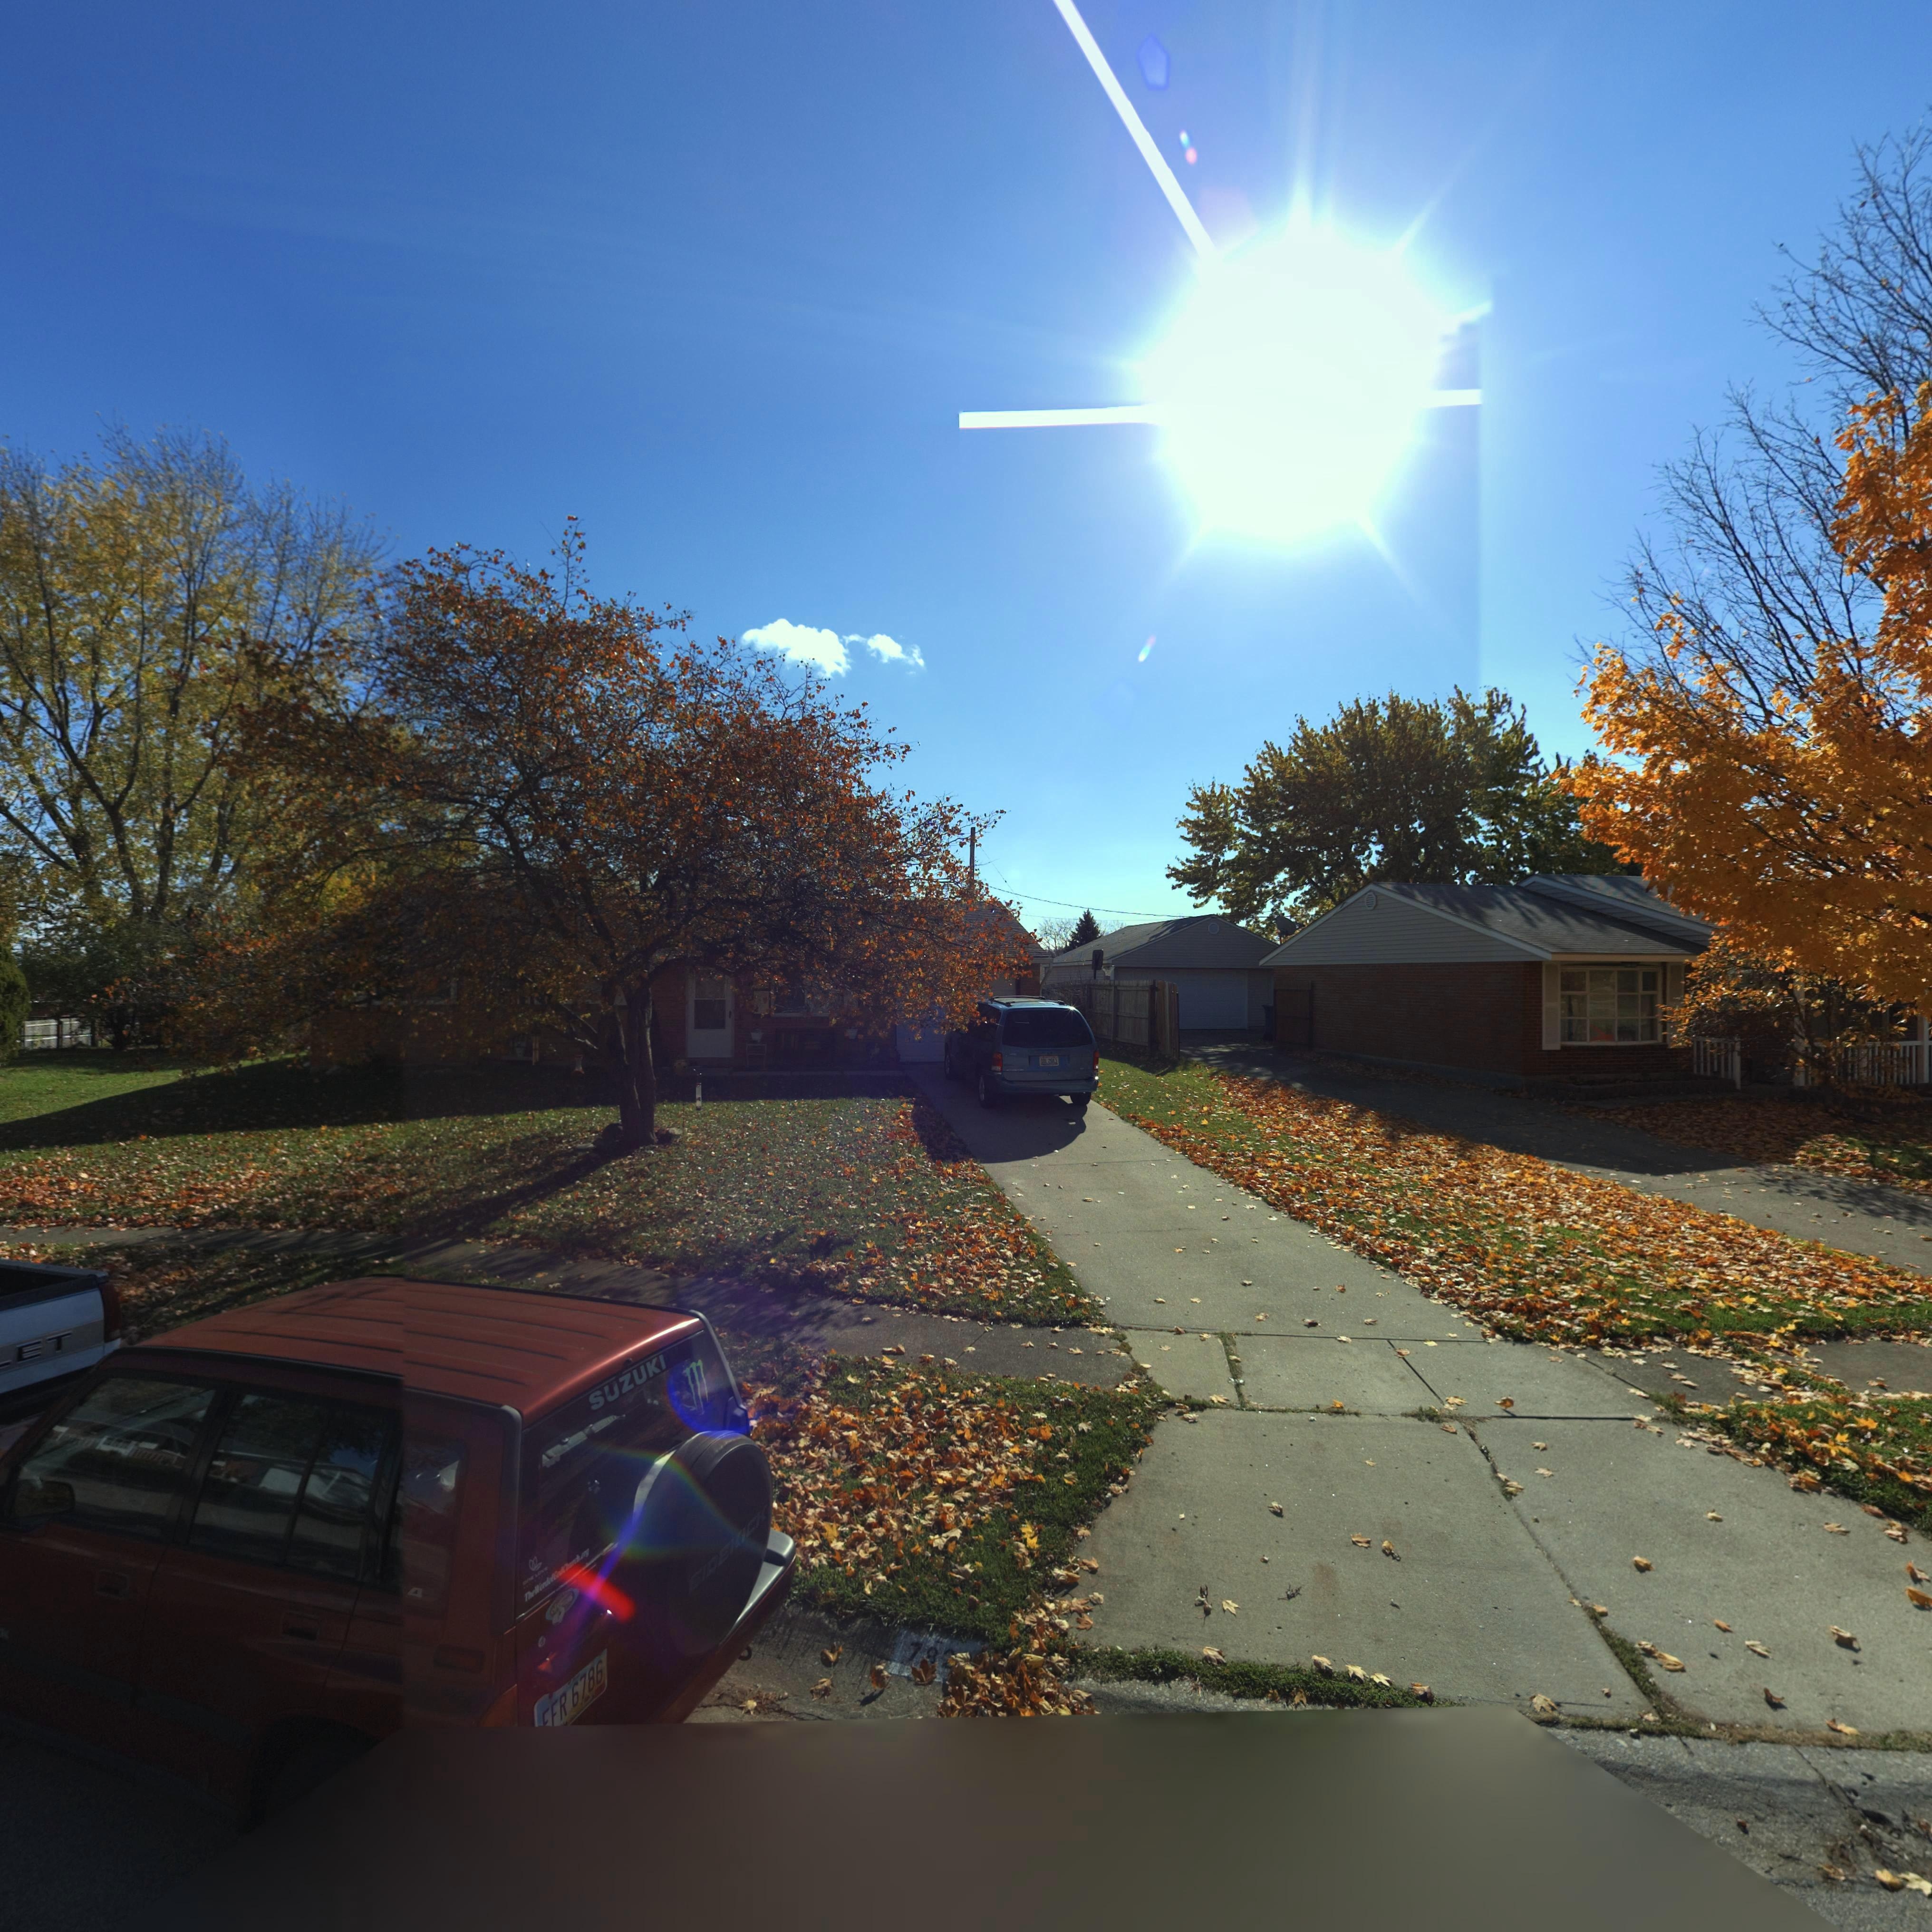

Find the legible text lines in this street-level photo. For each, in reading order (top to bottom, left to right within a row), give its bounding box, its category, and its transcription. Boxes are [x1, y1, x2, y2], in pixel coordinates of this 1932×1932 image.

[904, 1639, 958, 1672] StreetNumber: 7**